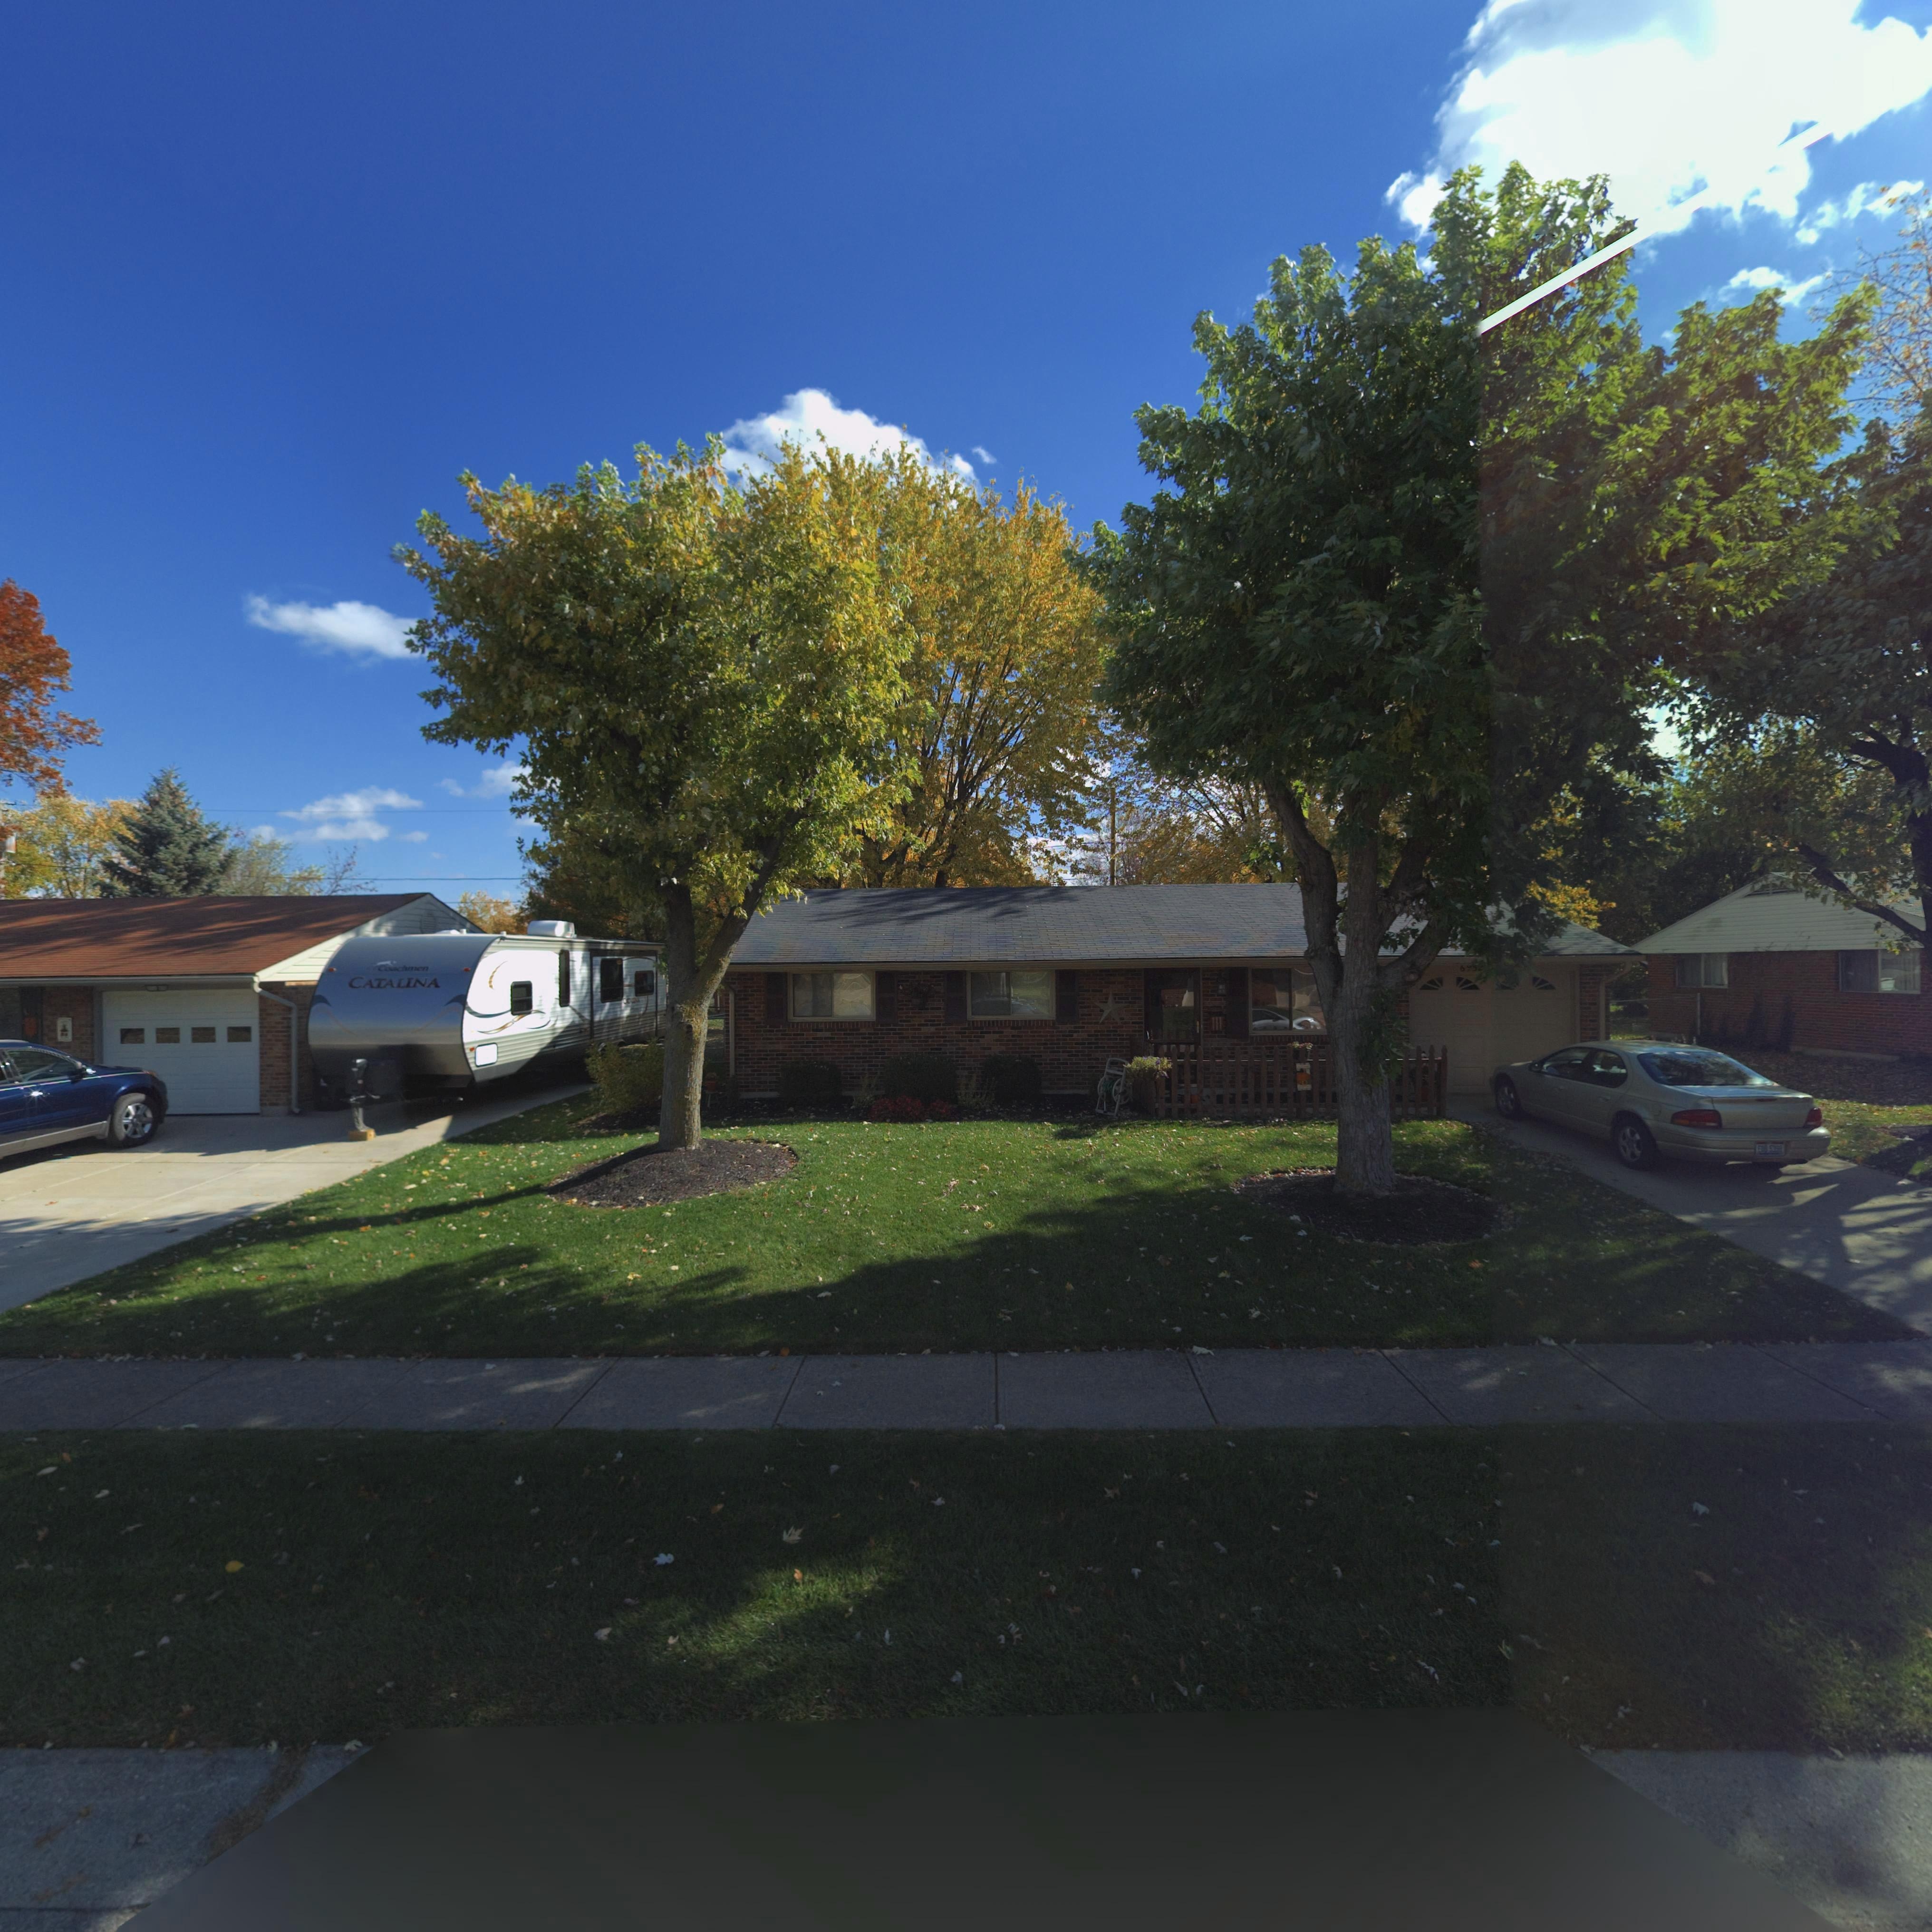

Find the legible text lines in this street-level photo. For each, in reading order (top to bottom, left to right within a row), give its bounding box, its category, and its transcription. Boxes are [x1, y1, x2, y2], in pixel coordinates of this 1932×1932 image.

[1459, 964, 1466, 973] StreetNumber: 6